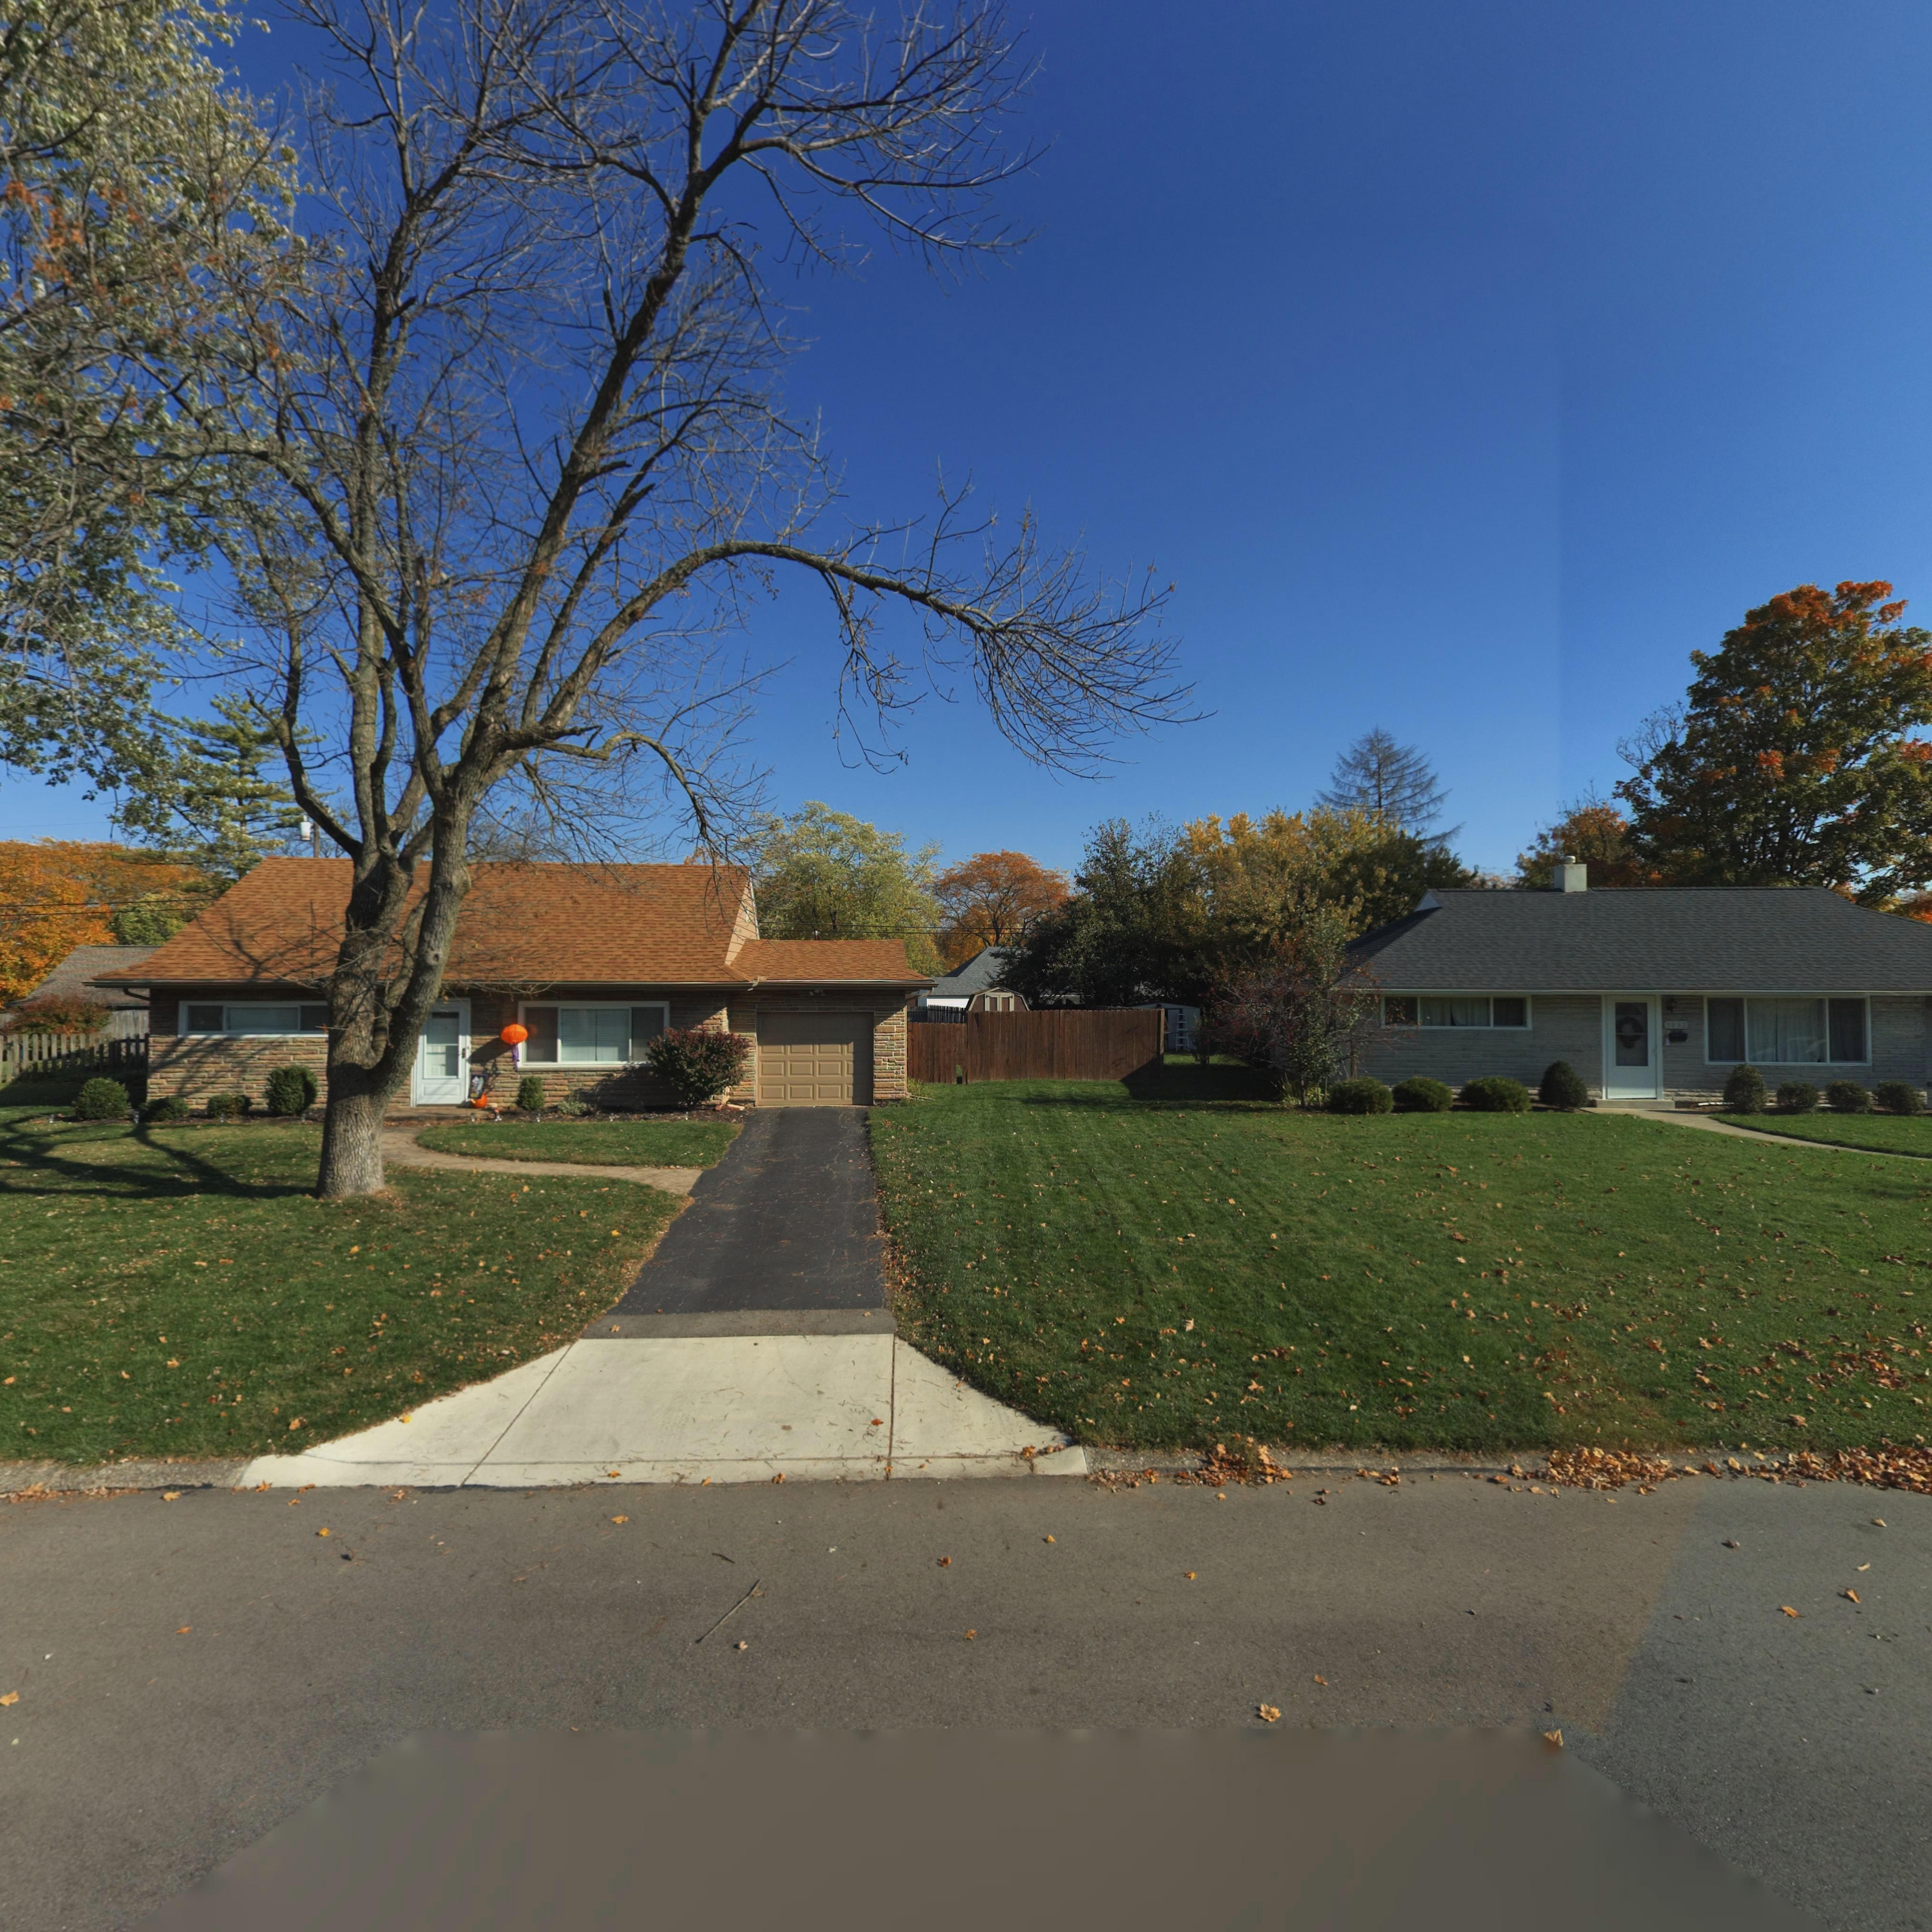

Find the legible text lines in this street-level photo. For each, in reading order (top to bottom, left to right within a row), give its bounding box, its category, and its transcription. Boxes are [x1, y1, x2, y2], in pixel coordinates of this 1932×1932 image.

[1665, 1021, 1688, 1029] StreetNumber: 3832